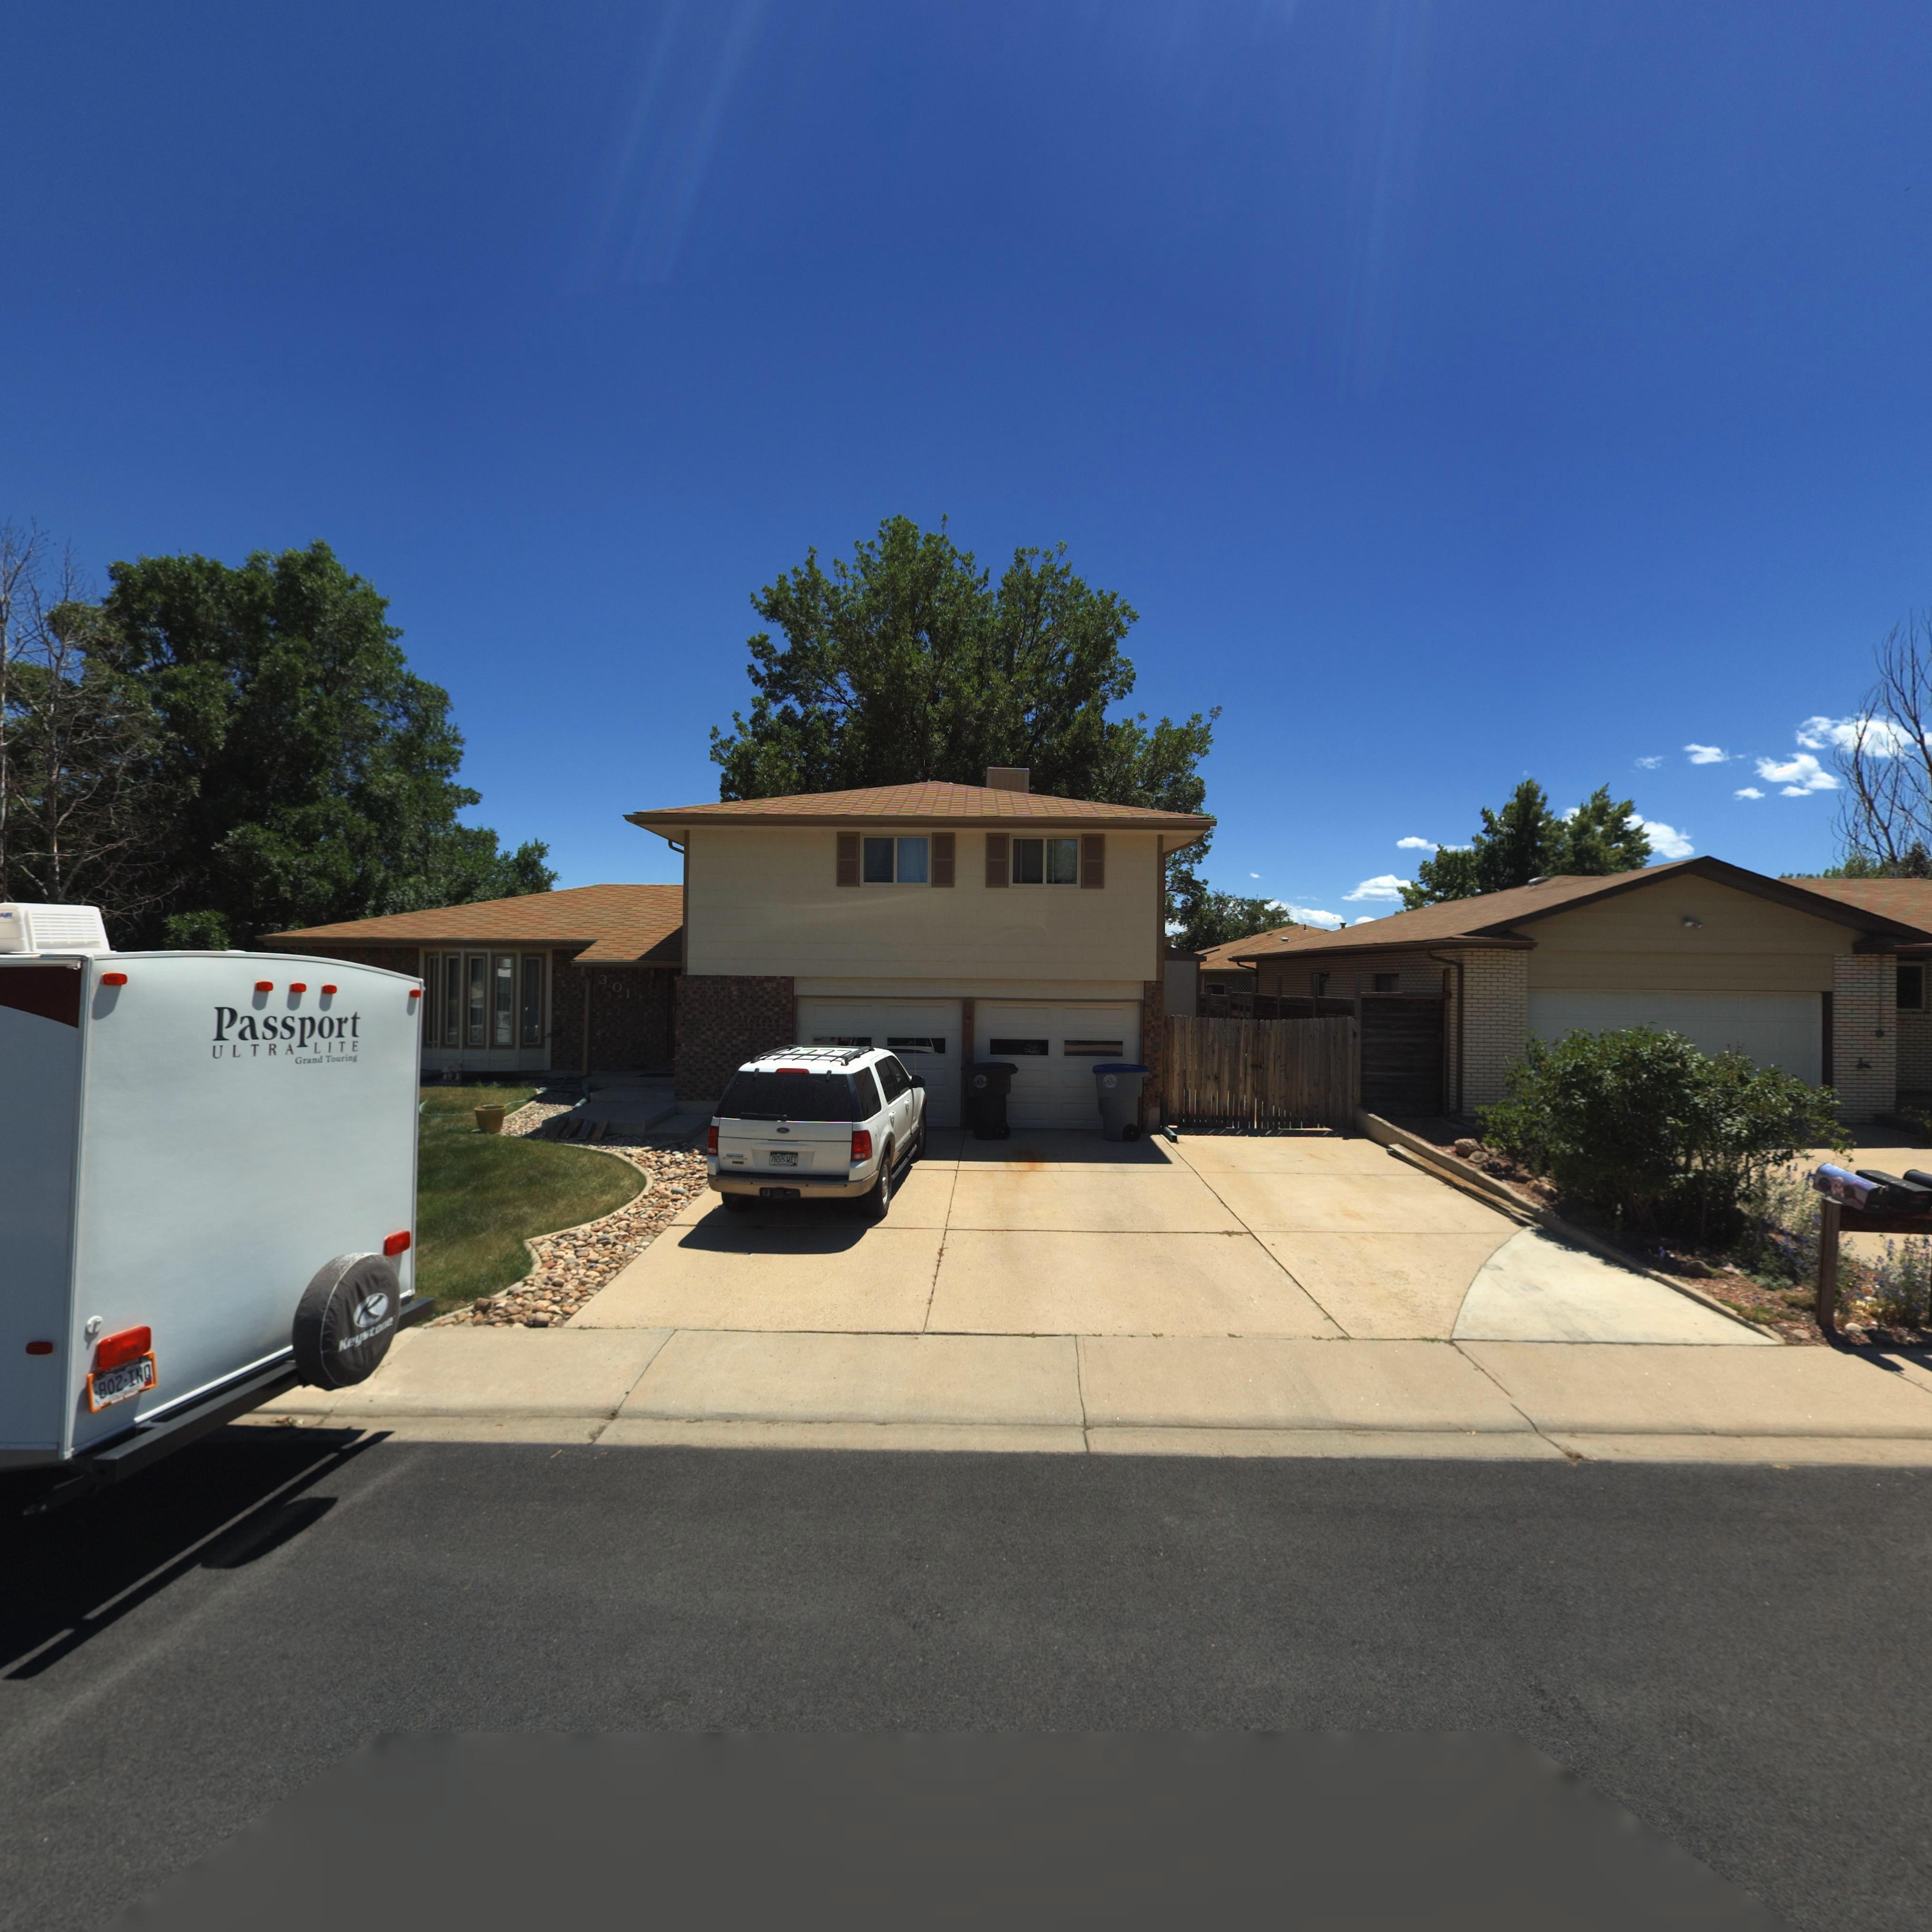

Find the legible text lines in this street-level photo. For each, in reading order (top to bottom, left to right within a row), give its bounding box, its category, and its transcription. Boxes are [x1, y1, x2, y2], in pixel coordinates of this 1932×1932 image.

[597, 974, 630, 999] StreetNumber: 301